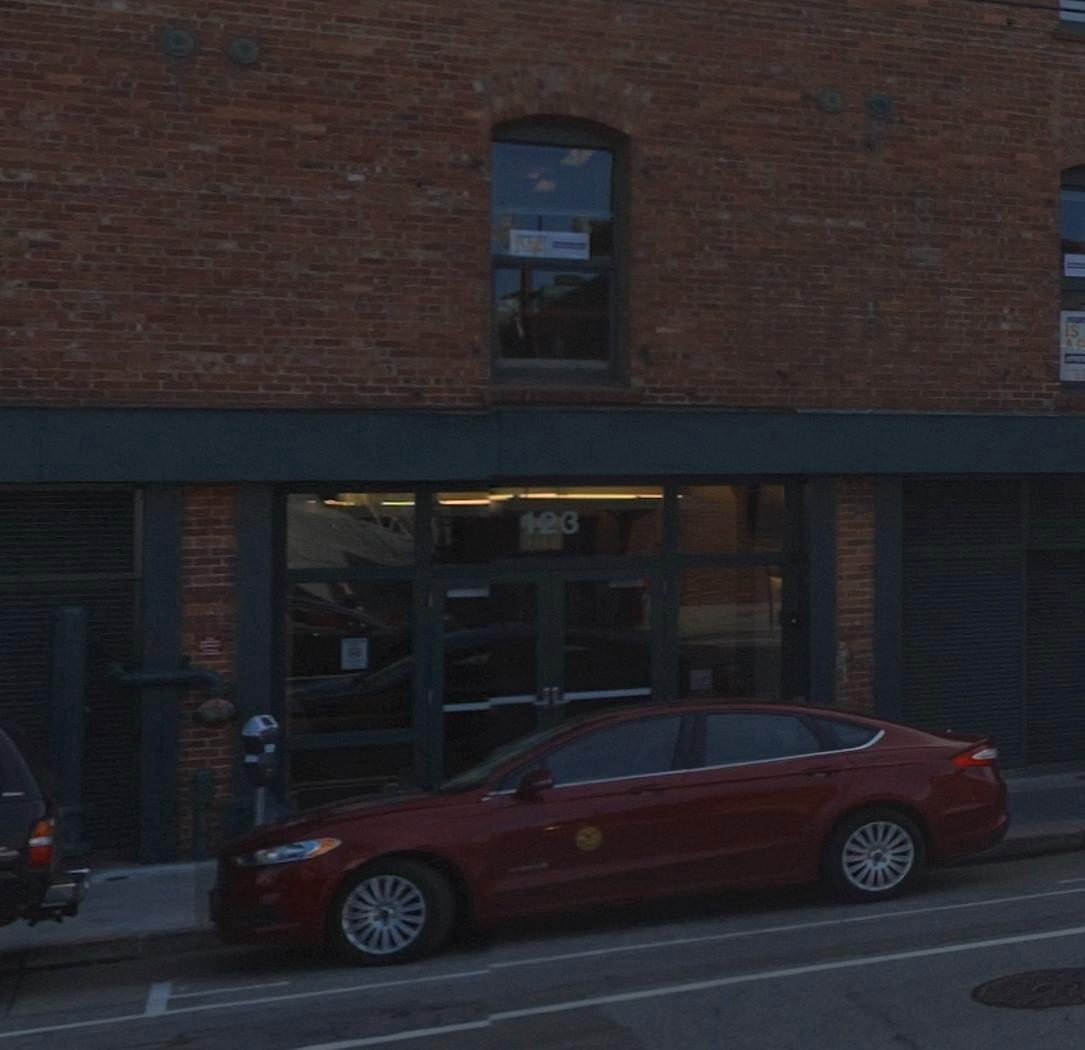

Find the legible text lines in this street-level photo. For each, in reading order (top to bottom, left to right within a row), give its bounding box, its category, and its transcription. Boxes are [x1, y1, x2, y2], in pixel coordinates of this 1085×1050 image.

[516, 507, 582, 539] StreetNumber: 423